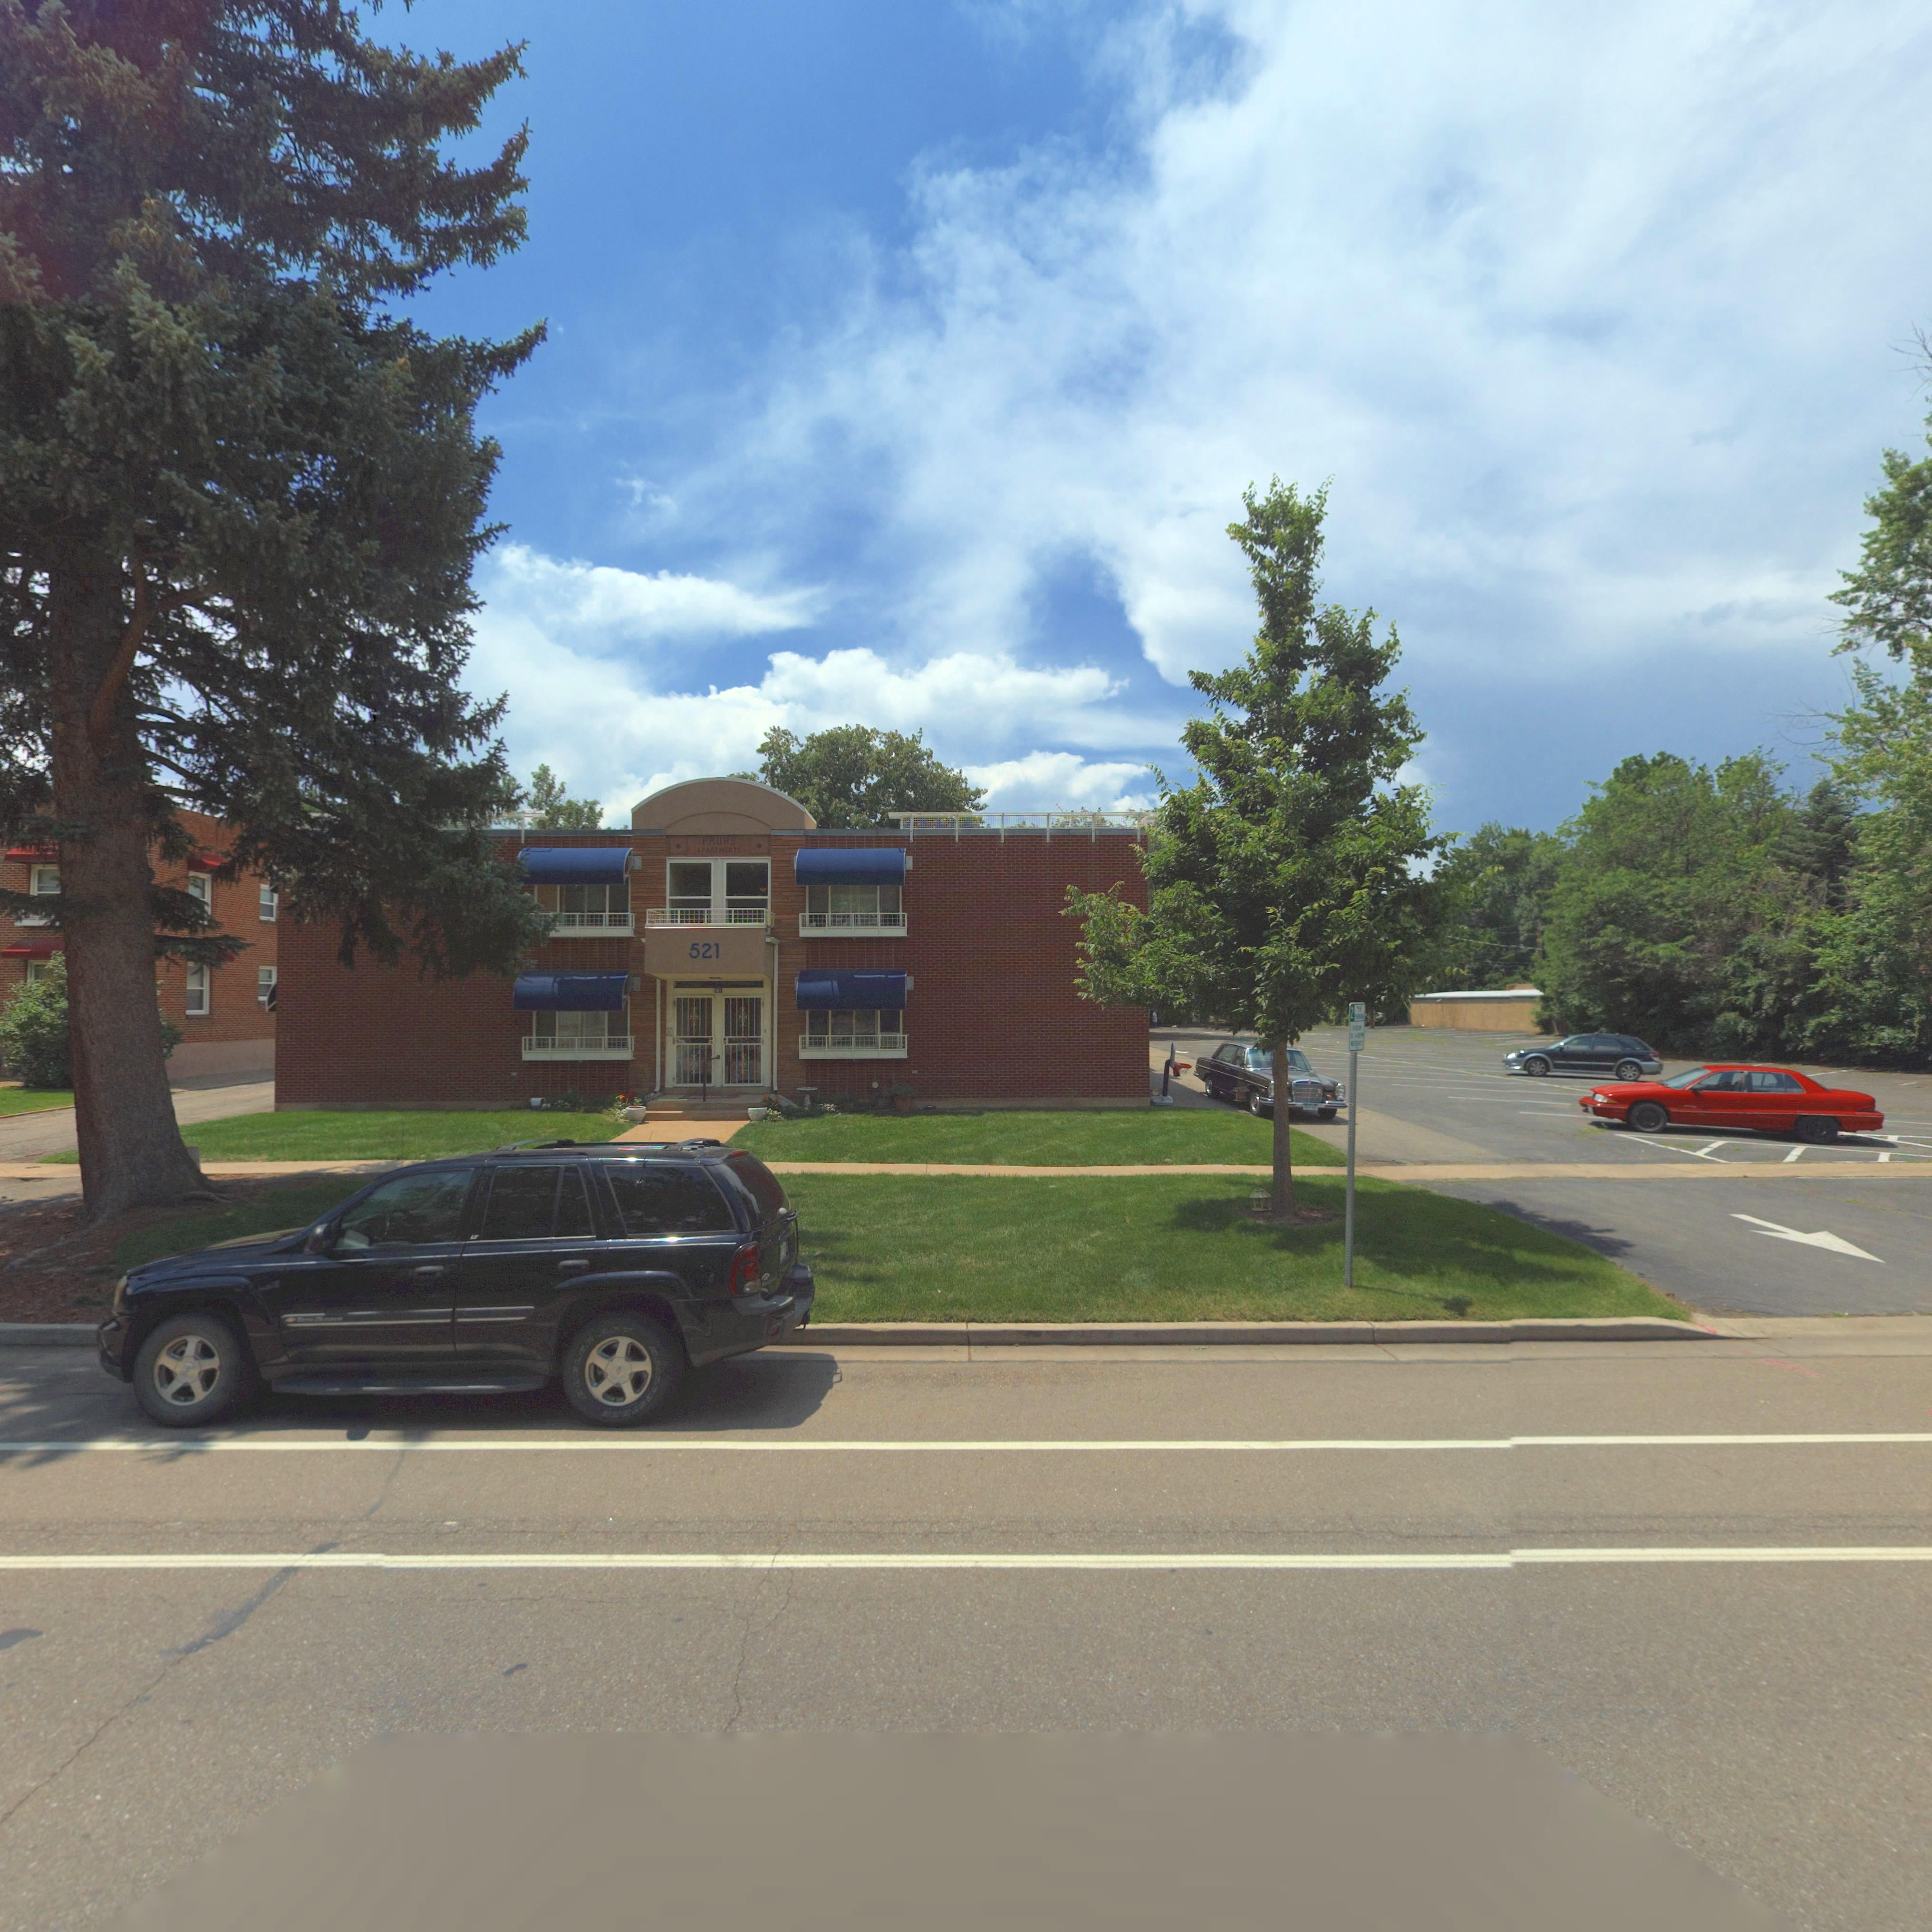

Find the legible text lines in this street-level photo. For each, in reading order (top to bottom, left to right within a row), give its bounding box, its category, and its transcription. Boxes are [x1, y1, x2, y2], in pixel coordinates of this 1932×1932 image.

[688, 942, 719, 959] StreetNumber: 521